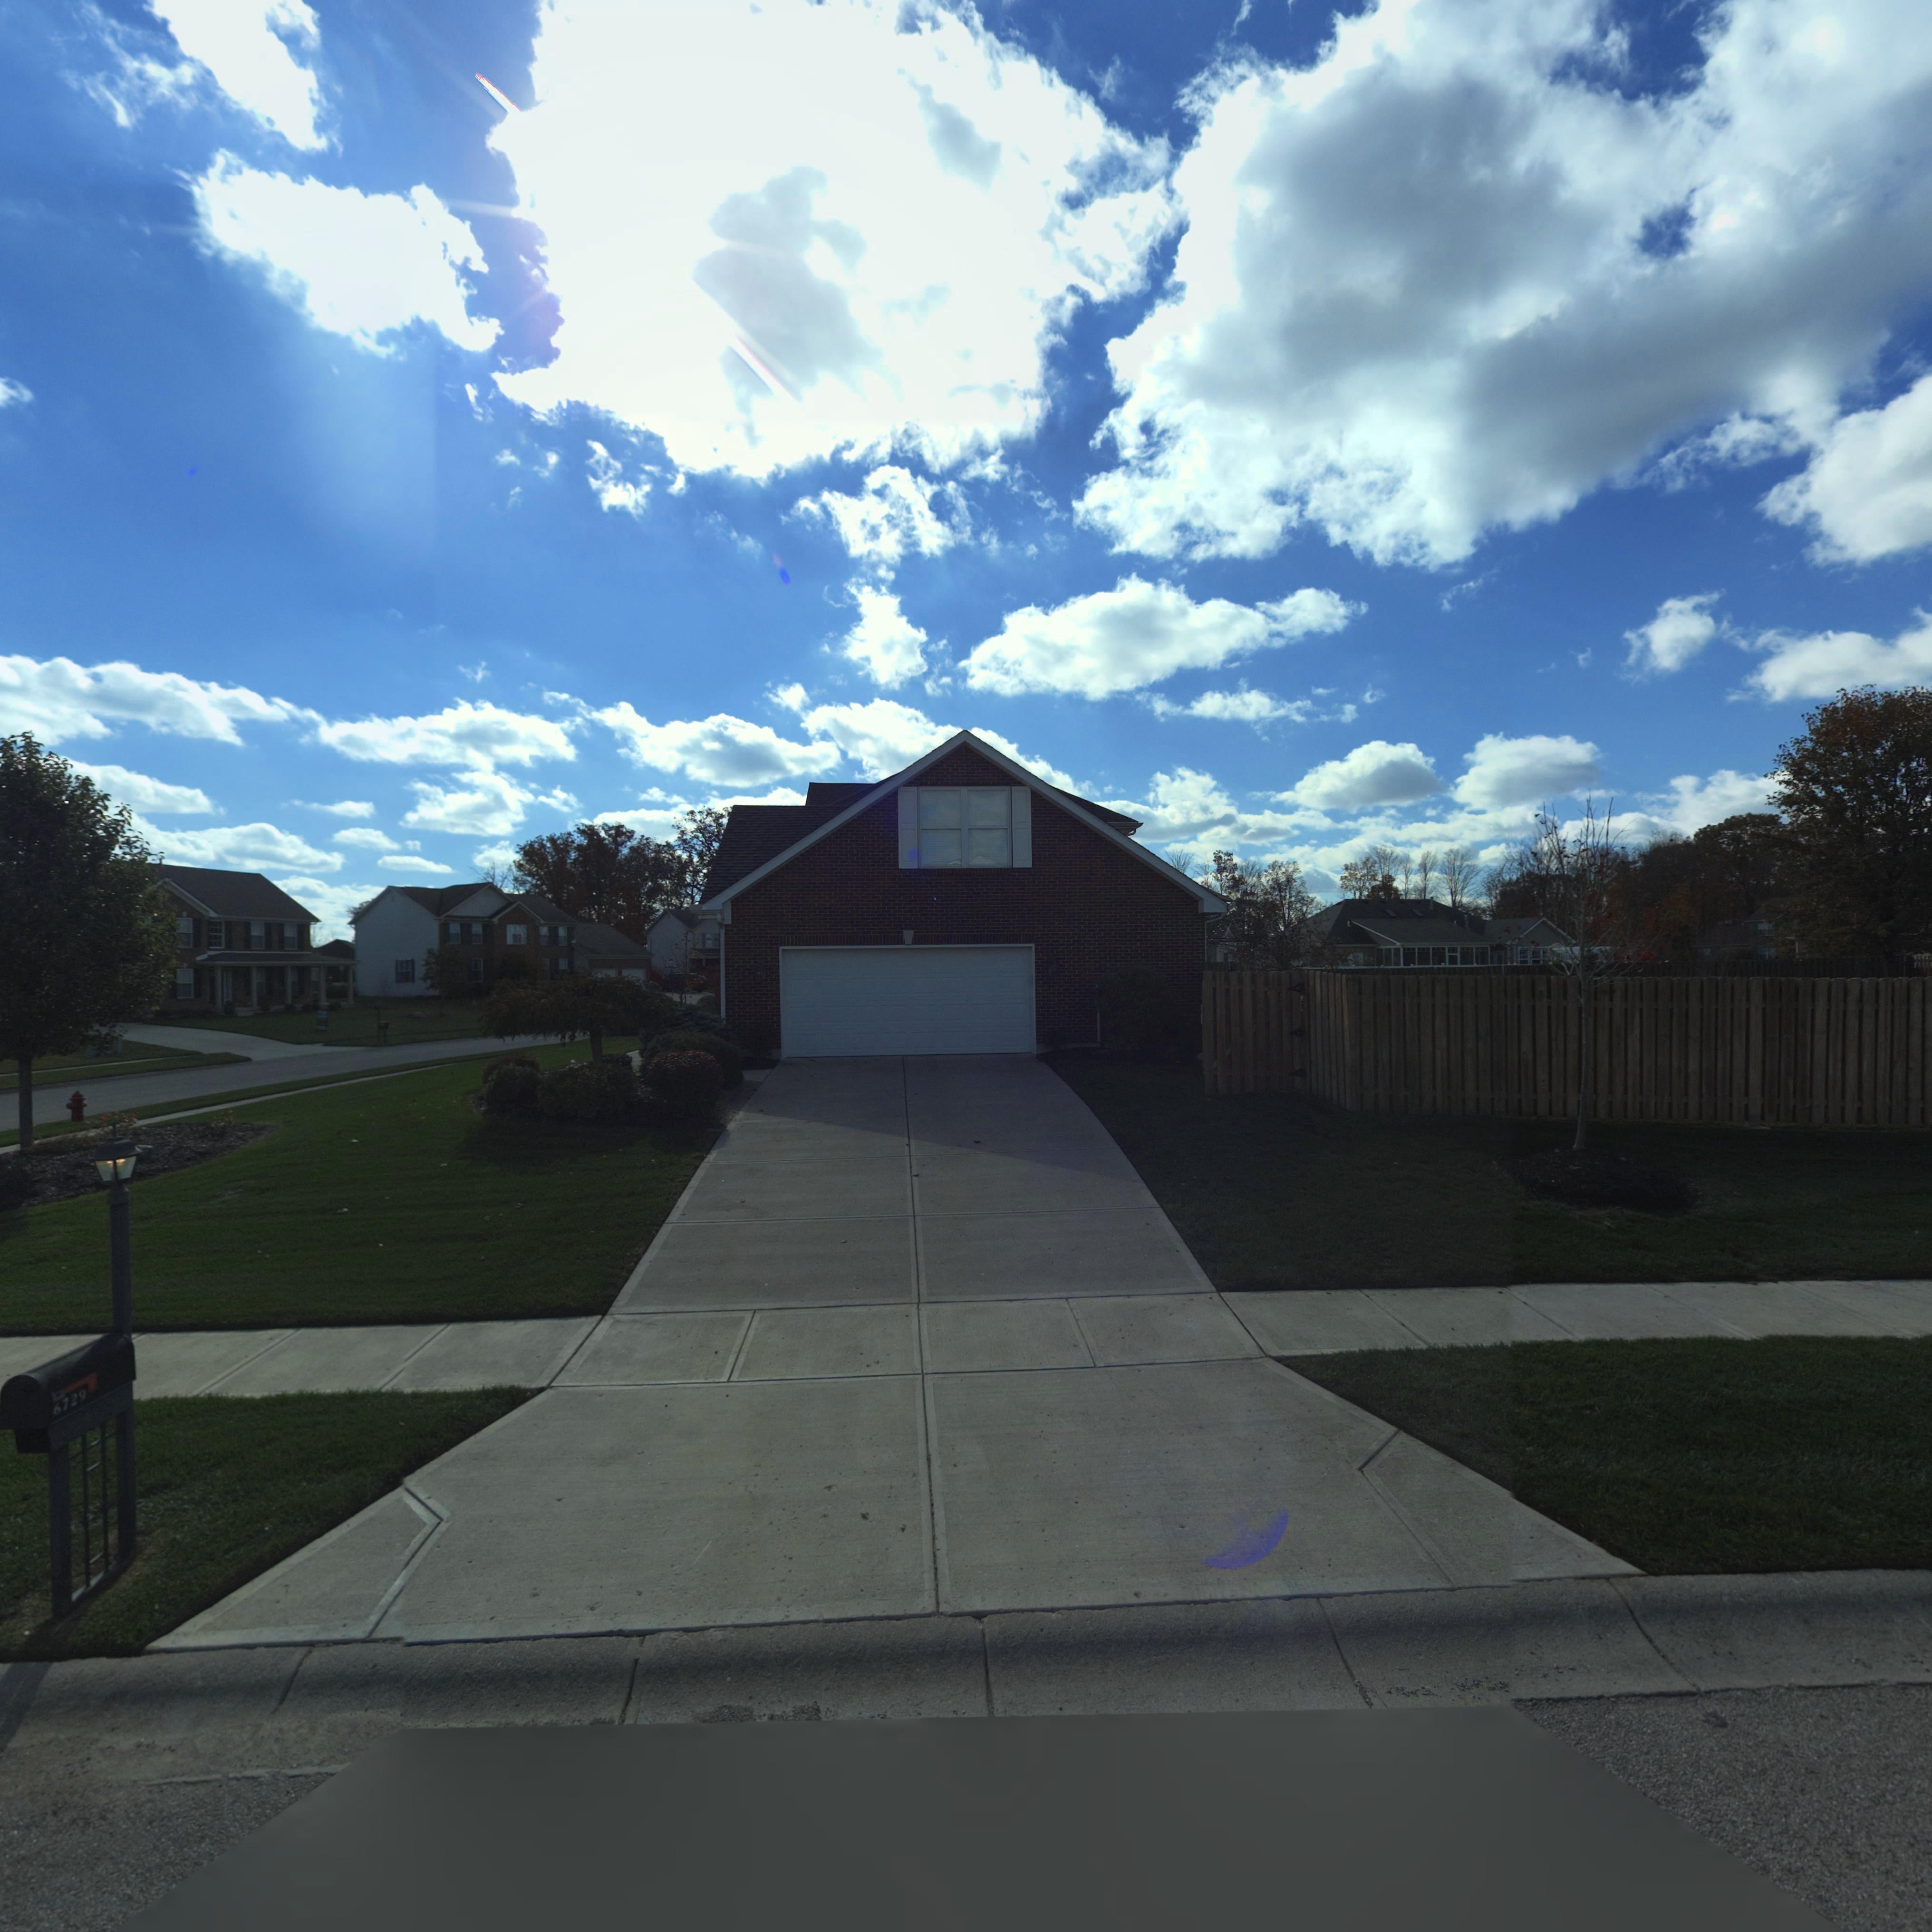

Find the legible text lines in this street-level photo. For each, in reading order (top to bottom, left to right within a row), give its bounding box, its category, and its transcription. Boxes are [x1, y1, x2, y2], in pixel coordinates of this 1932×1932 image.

[51, 1387, 87, 1417] StreetNumber: 6729